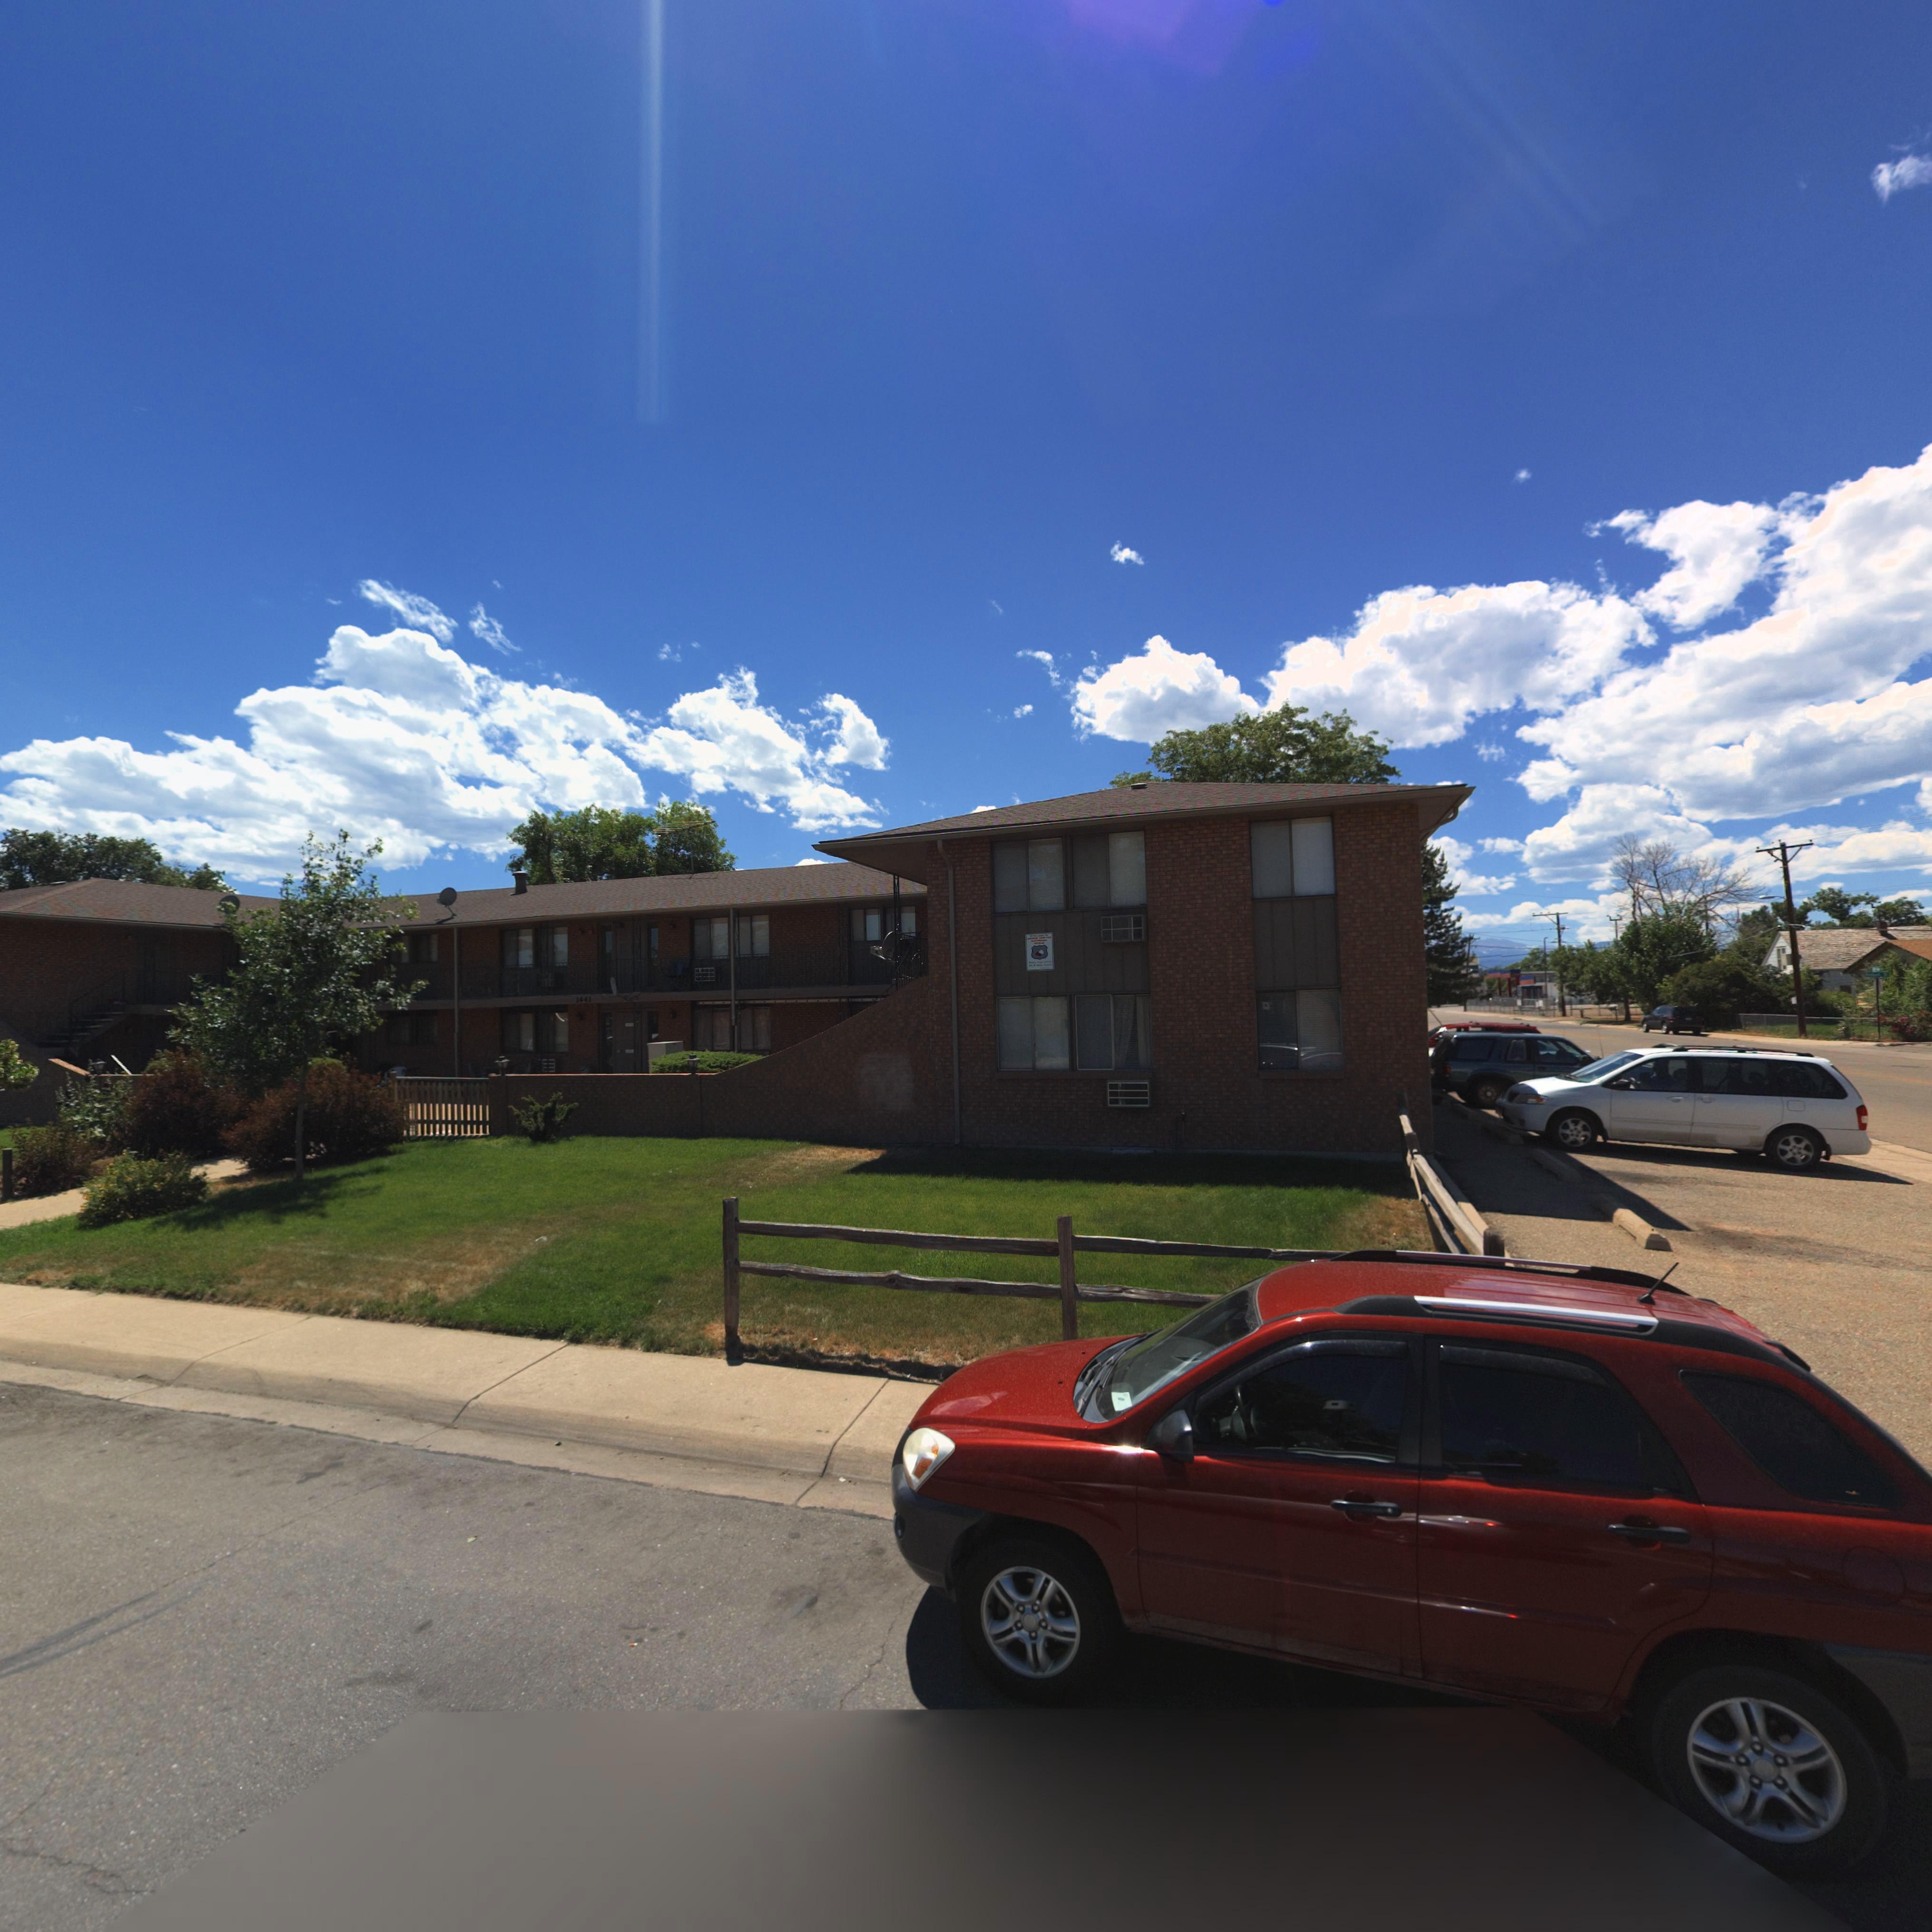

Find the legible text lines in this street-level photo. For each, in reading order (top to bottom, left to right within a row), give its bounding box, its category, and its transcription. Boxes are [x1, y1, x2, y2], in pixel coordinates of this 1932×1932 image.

[575, 995, 591, 1003] StreetNumber: 1441